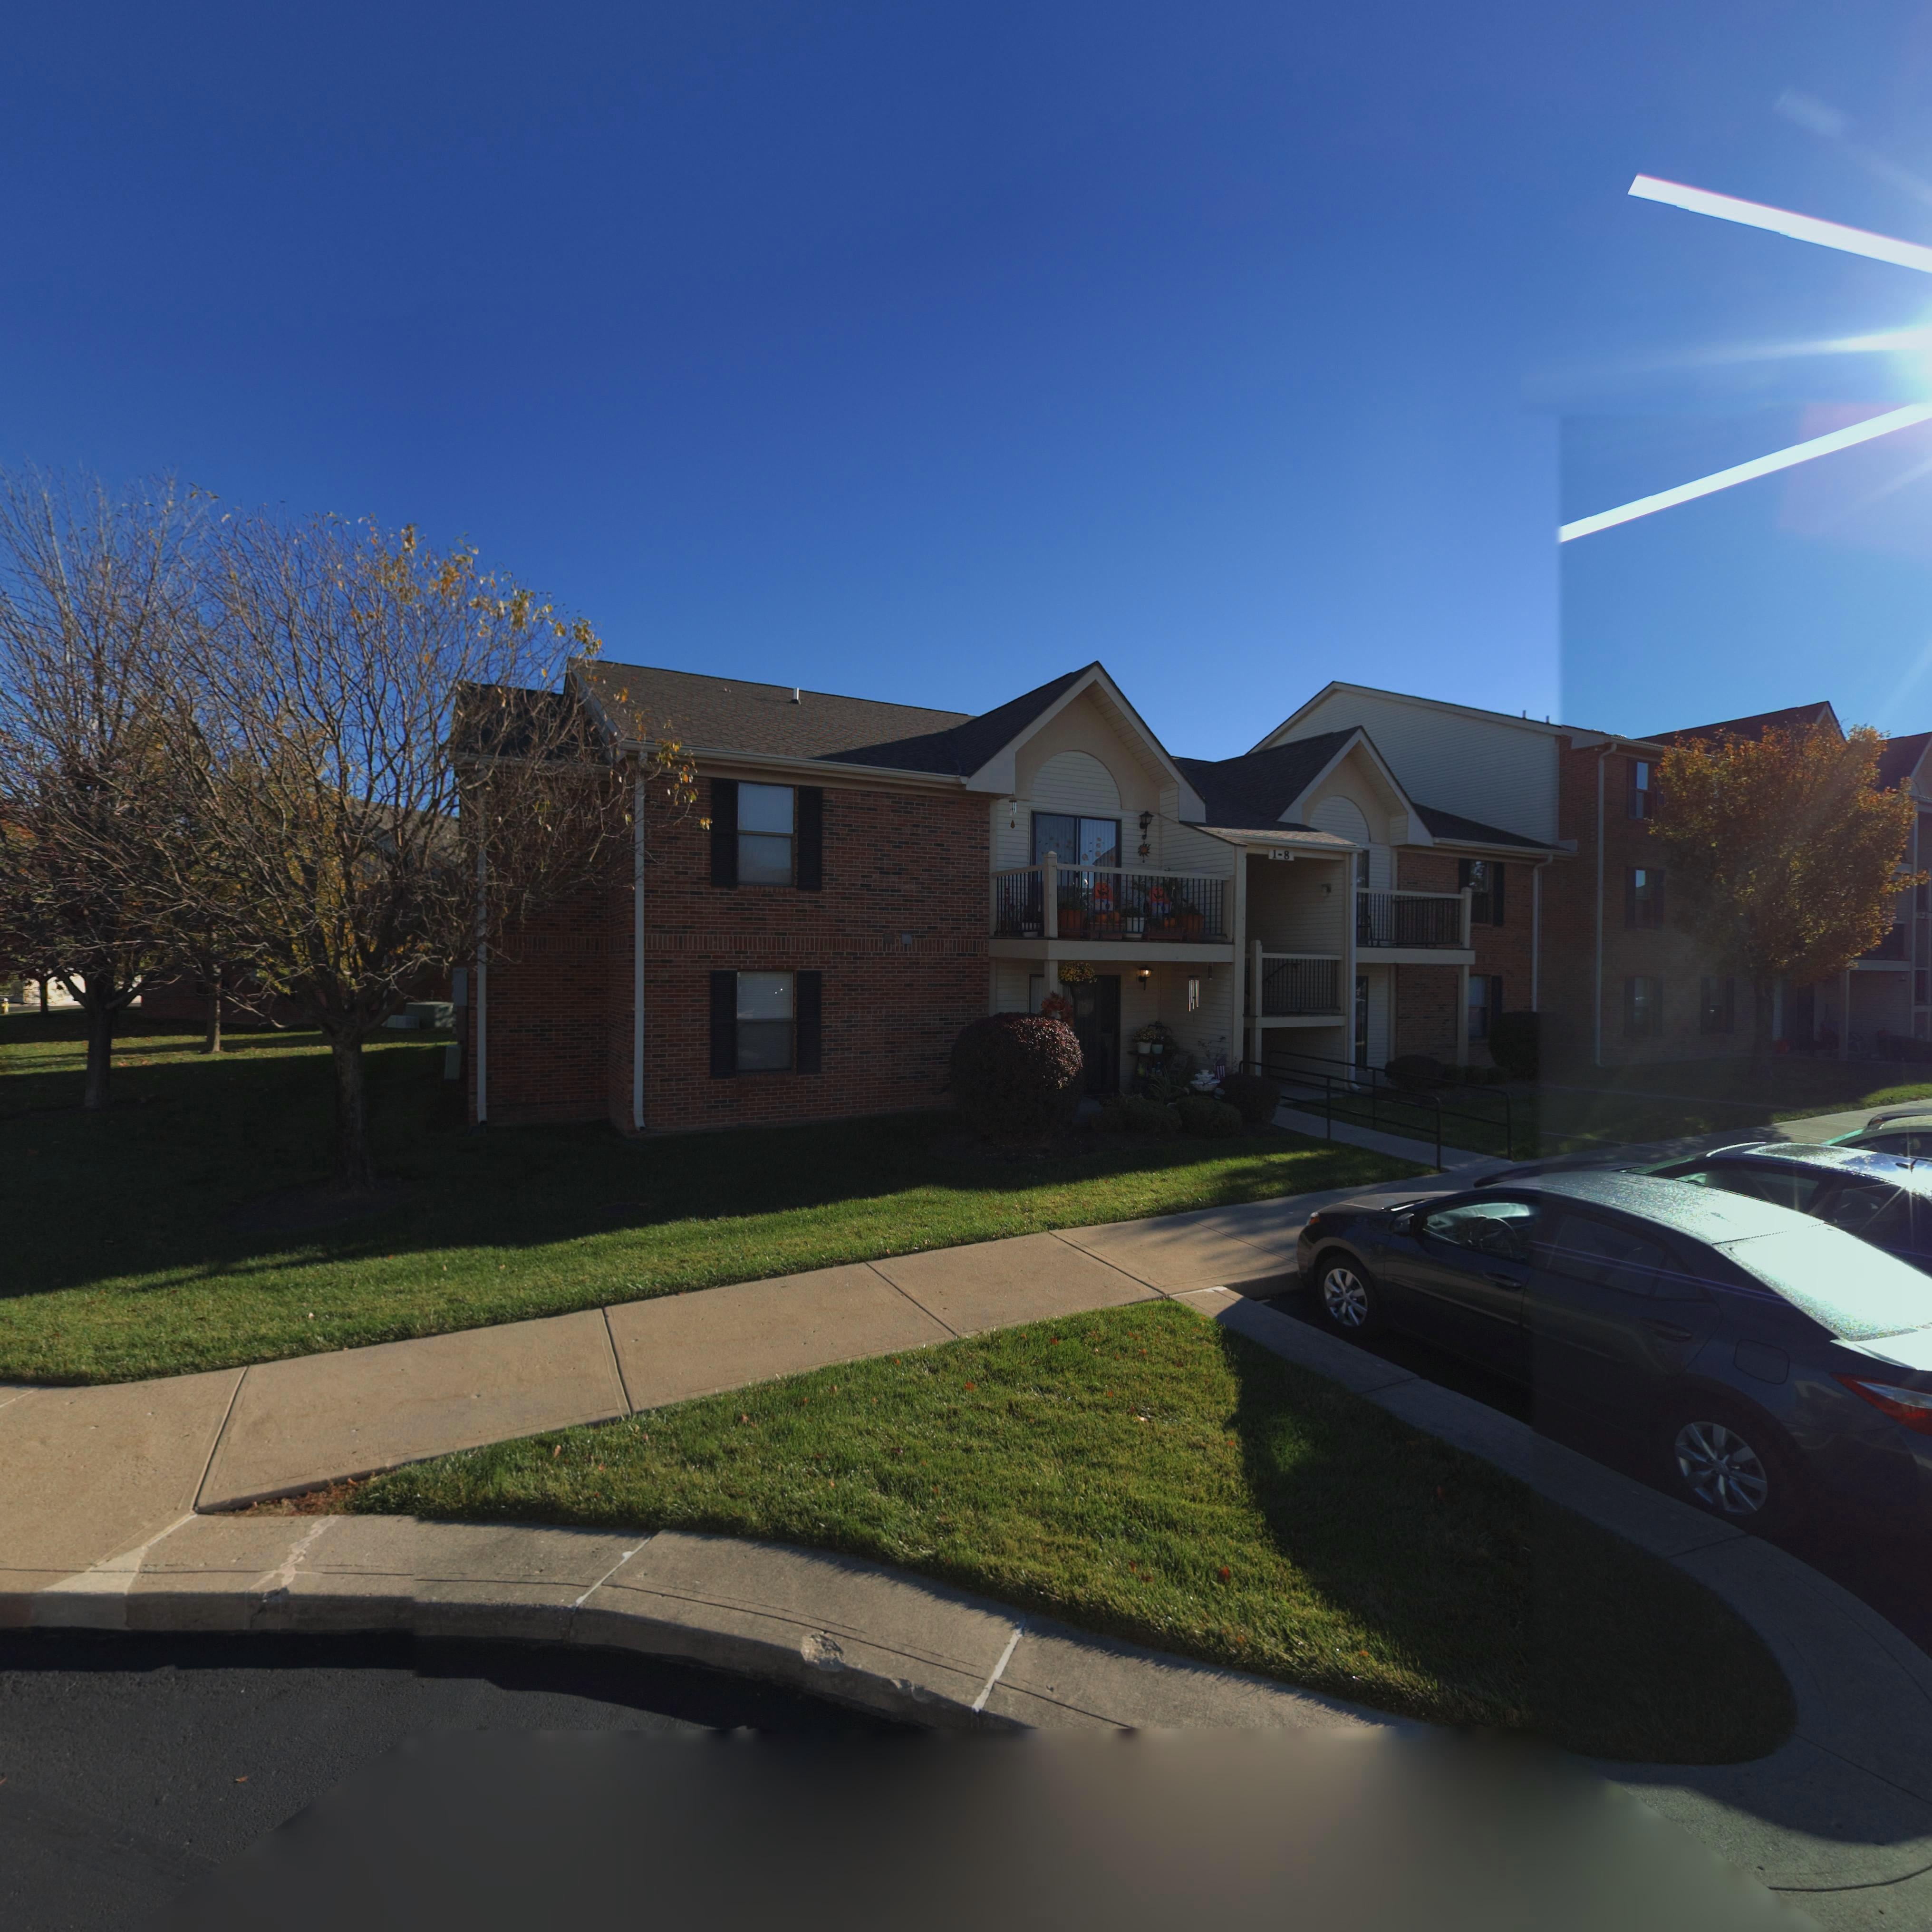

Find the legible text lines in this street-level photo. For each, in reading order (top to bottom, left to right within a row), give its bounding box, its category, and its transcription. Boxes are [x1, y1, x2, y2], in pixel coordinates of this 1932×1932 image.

[1272, 849, 1291, 860] StreetNumber: 1-8